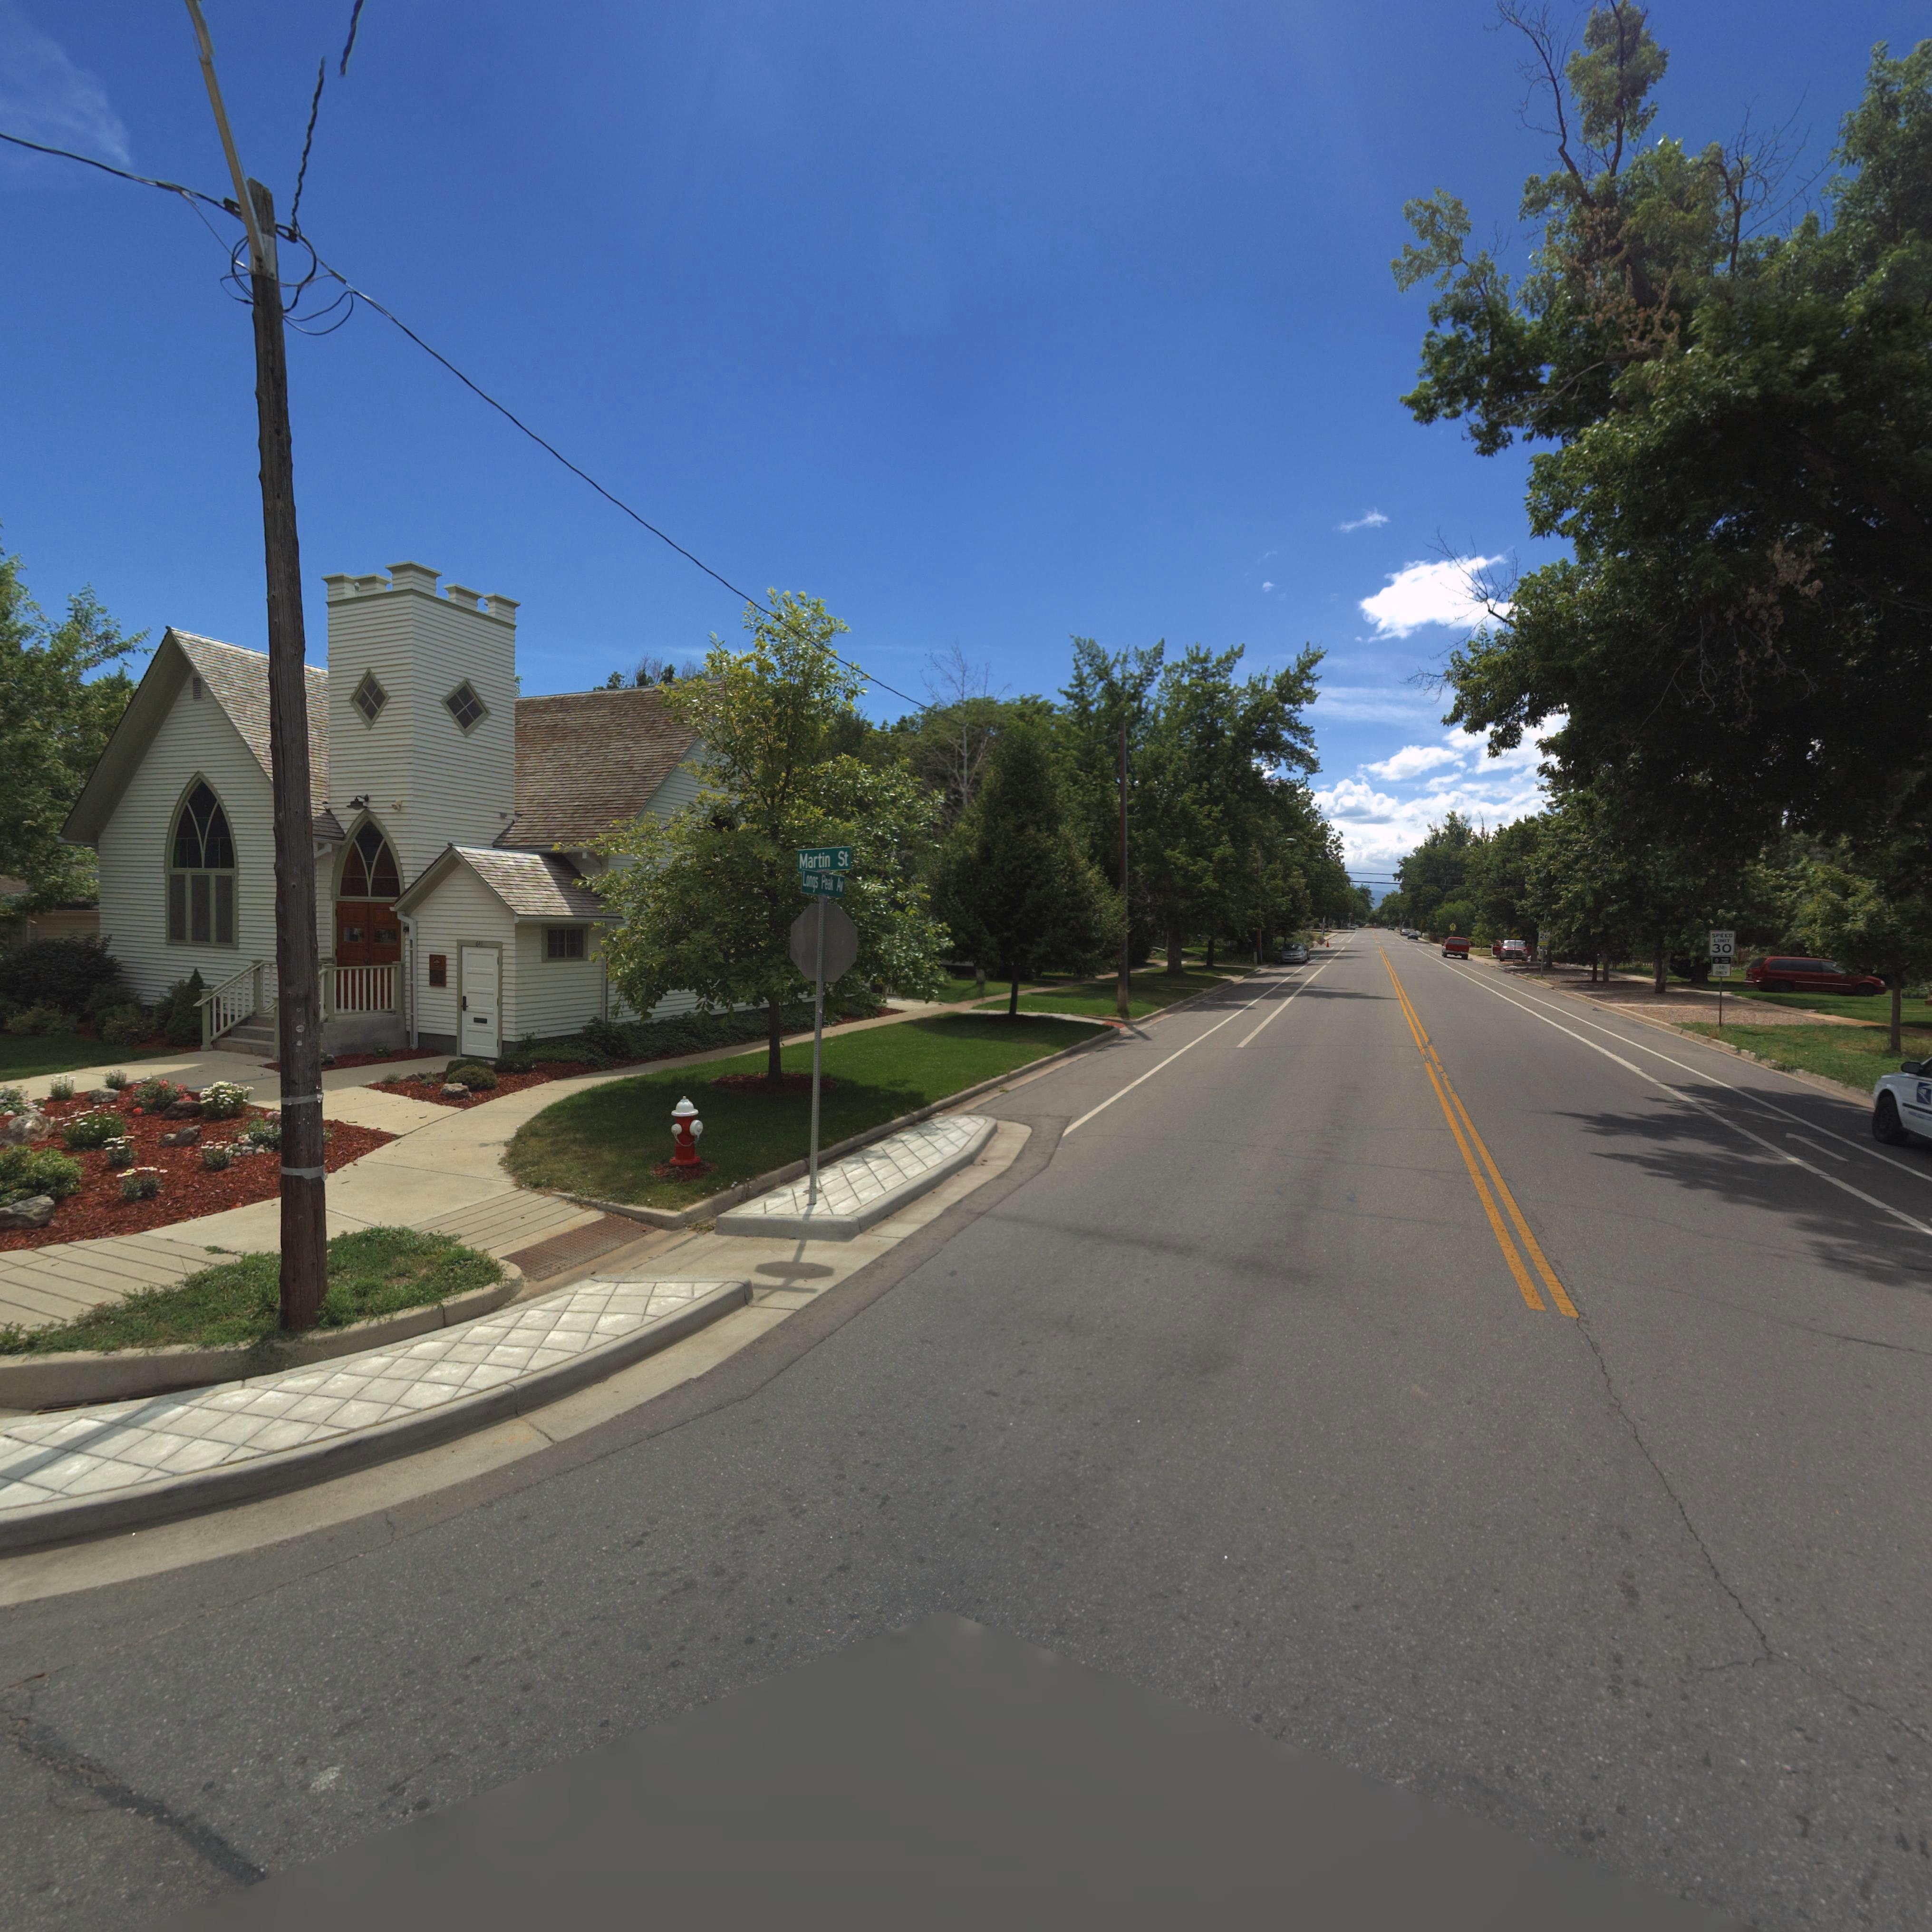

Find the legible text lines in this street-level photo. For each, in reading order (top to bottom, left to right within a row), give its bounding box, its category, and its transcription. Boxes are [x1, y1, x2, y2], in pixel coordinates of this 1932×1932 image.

[798, 850, 849, 869] StreetName: Martin St
[802, 870, 845, 894] StreetName: Longs Peak Av